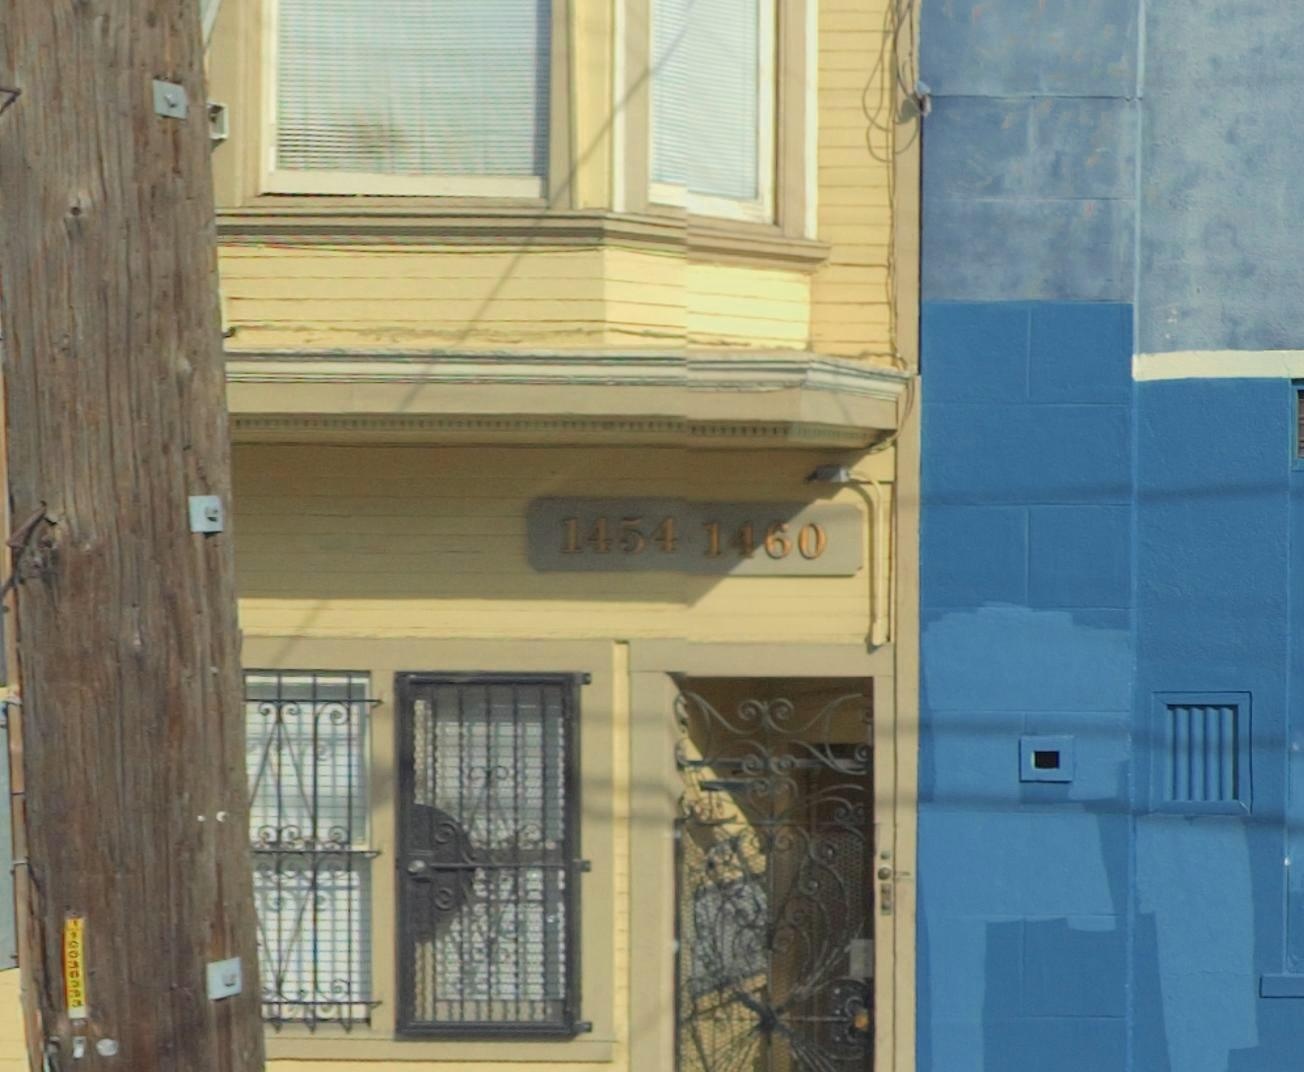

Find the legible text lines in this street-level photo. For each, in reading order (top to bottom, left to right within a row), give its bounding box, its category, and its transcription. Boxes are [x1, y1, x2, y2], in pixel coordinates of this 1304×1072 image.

[557, 513, 682, 557] StreetNumber: 1454
[701, 516, 830, 562] StreetNumber: 1460
[65, 937, 83, 961] None: 00